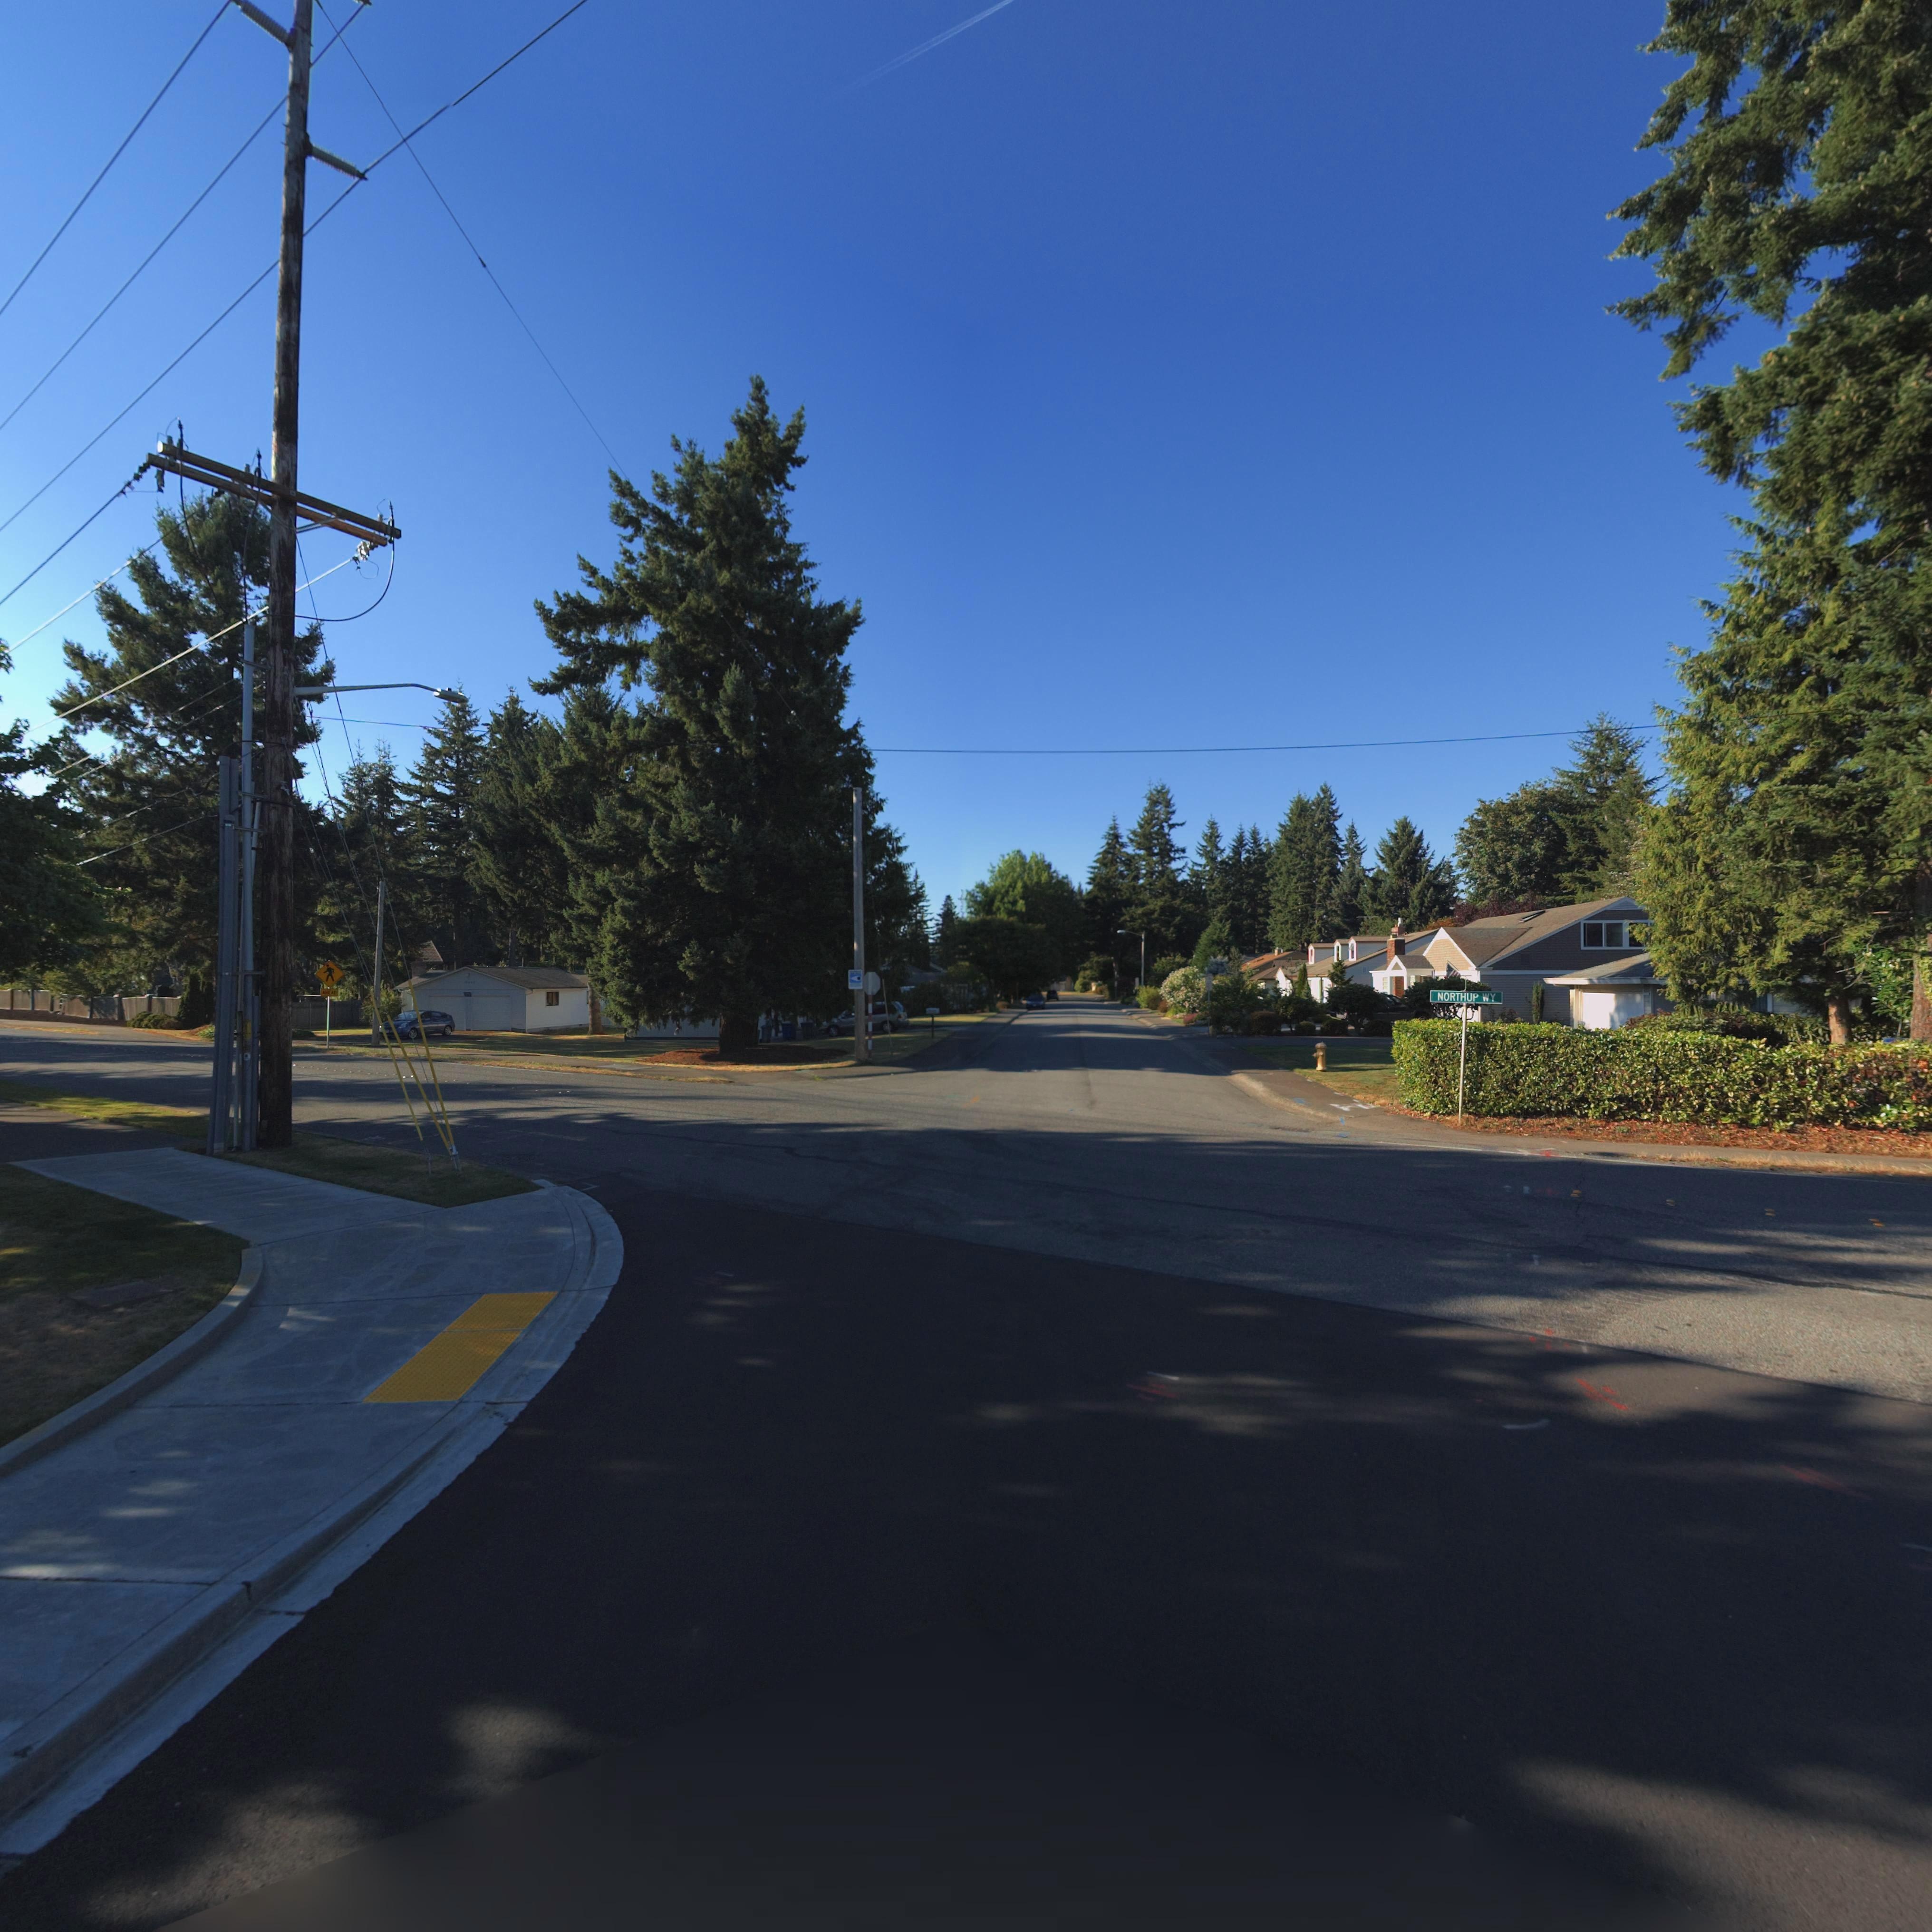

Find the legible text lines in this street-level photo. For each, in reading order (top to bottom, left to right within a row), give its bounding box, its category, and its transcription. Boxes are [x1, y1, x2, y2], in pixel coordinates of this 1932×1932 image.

[1437, 992, 1496, 1002] StreetName: NORTHUP WY